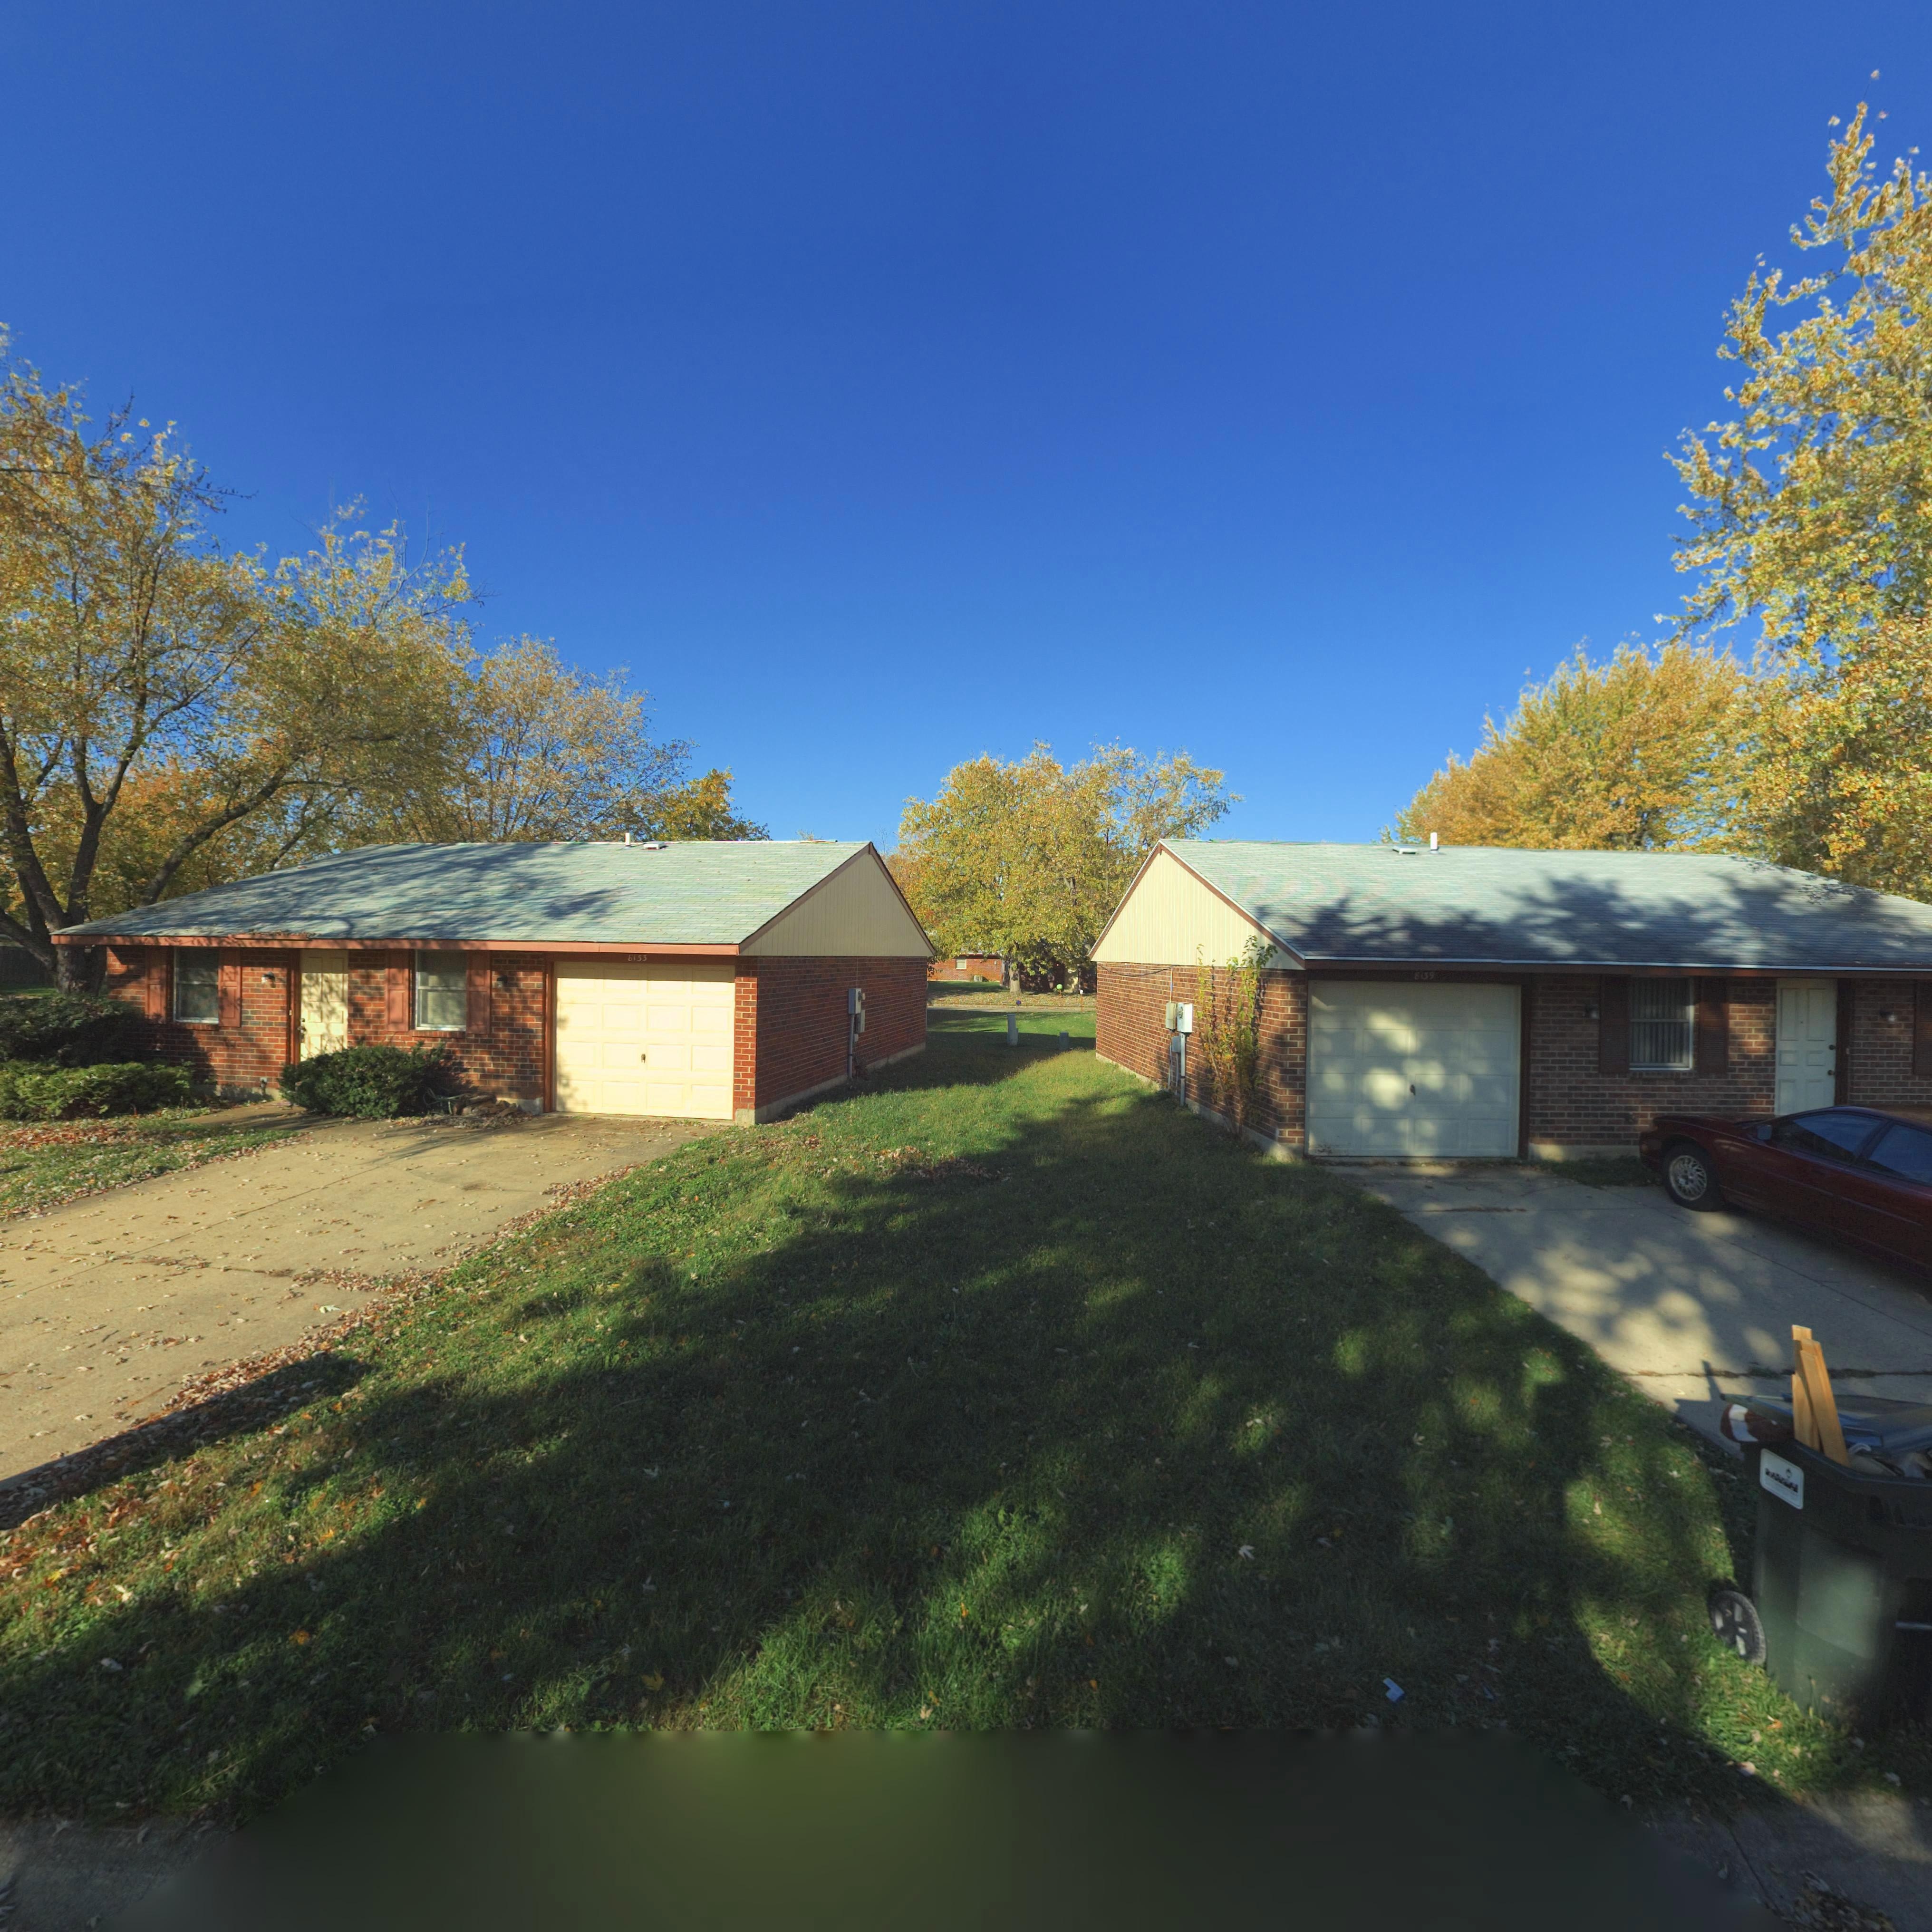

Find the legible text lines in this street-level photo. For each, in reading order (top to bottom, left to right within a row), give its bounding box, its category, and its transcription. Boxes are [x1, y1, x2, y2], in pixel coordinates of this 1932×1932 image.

[627, 954, 648, 964] StreetNumber: ***3
[1413, 971, 1438, 981] StreetNumber: 8139